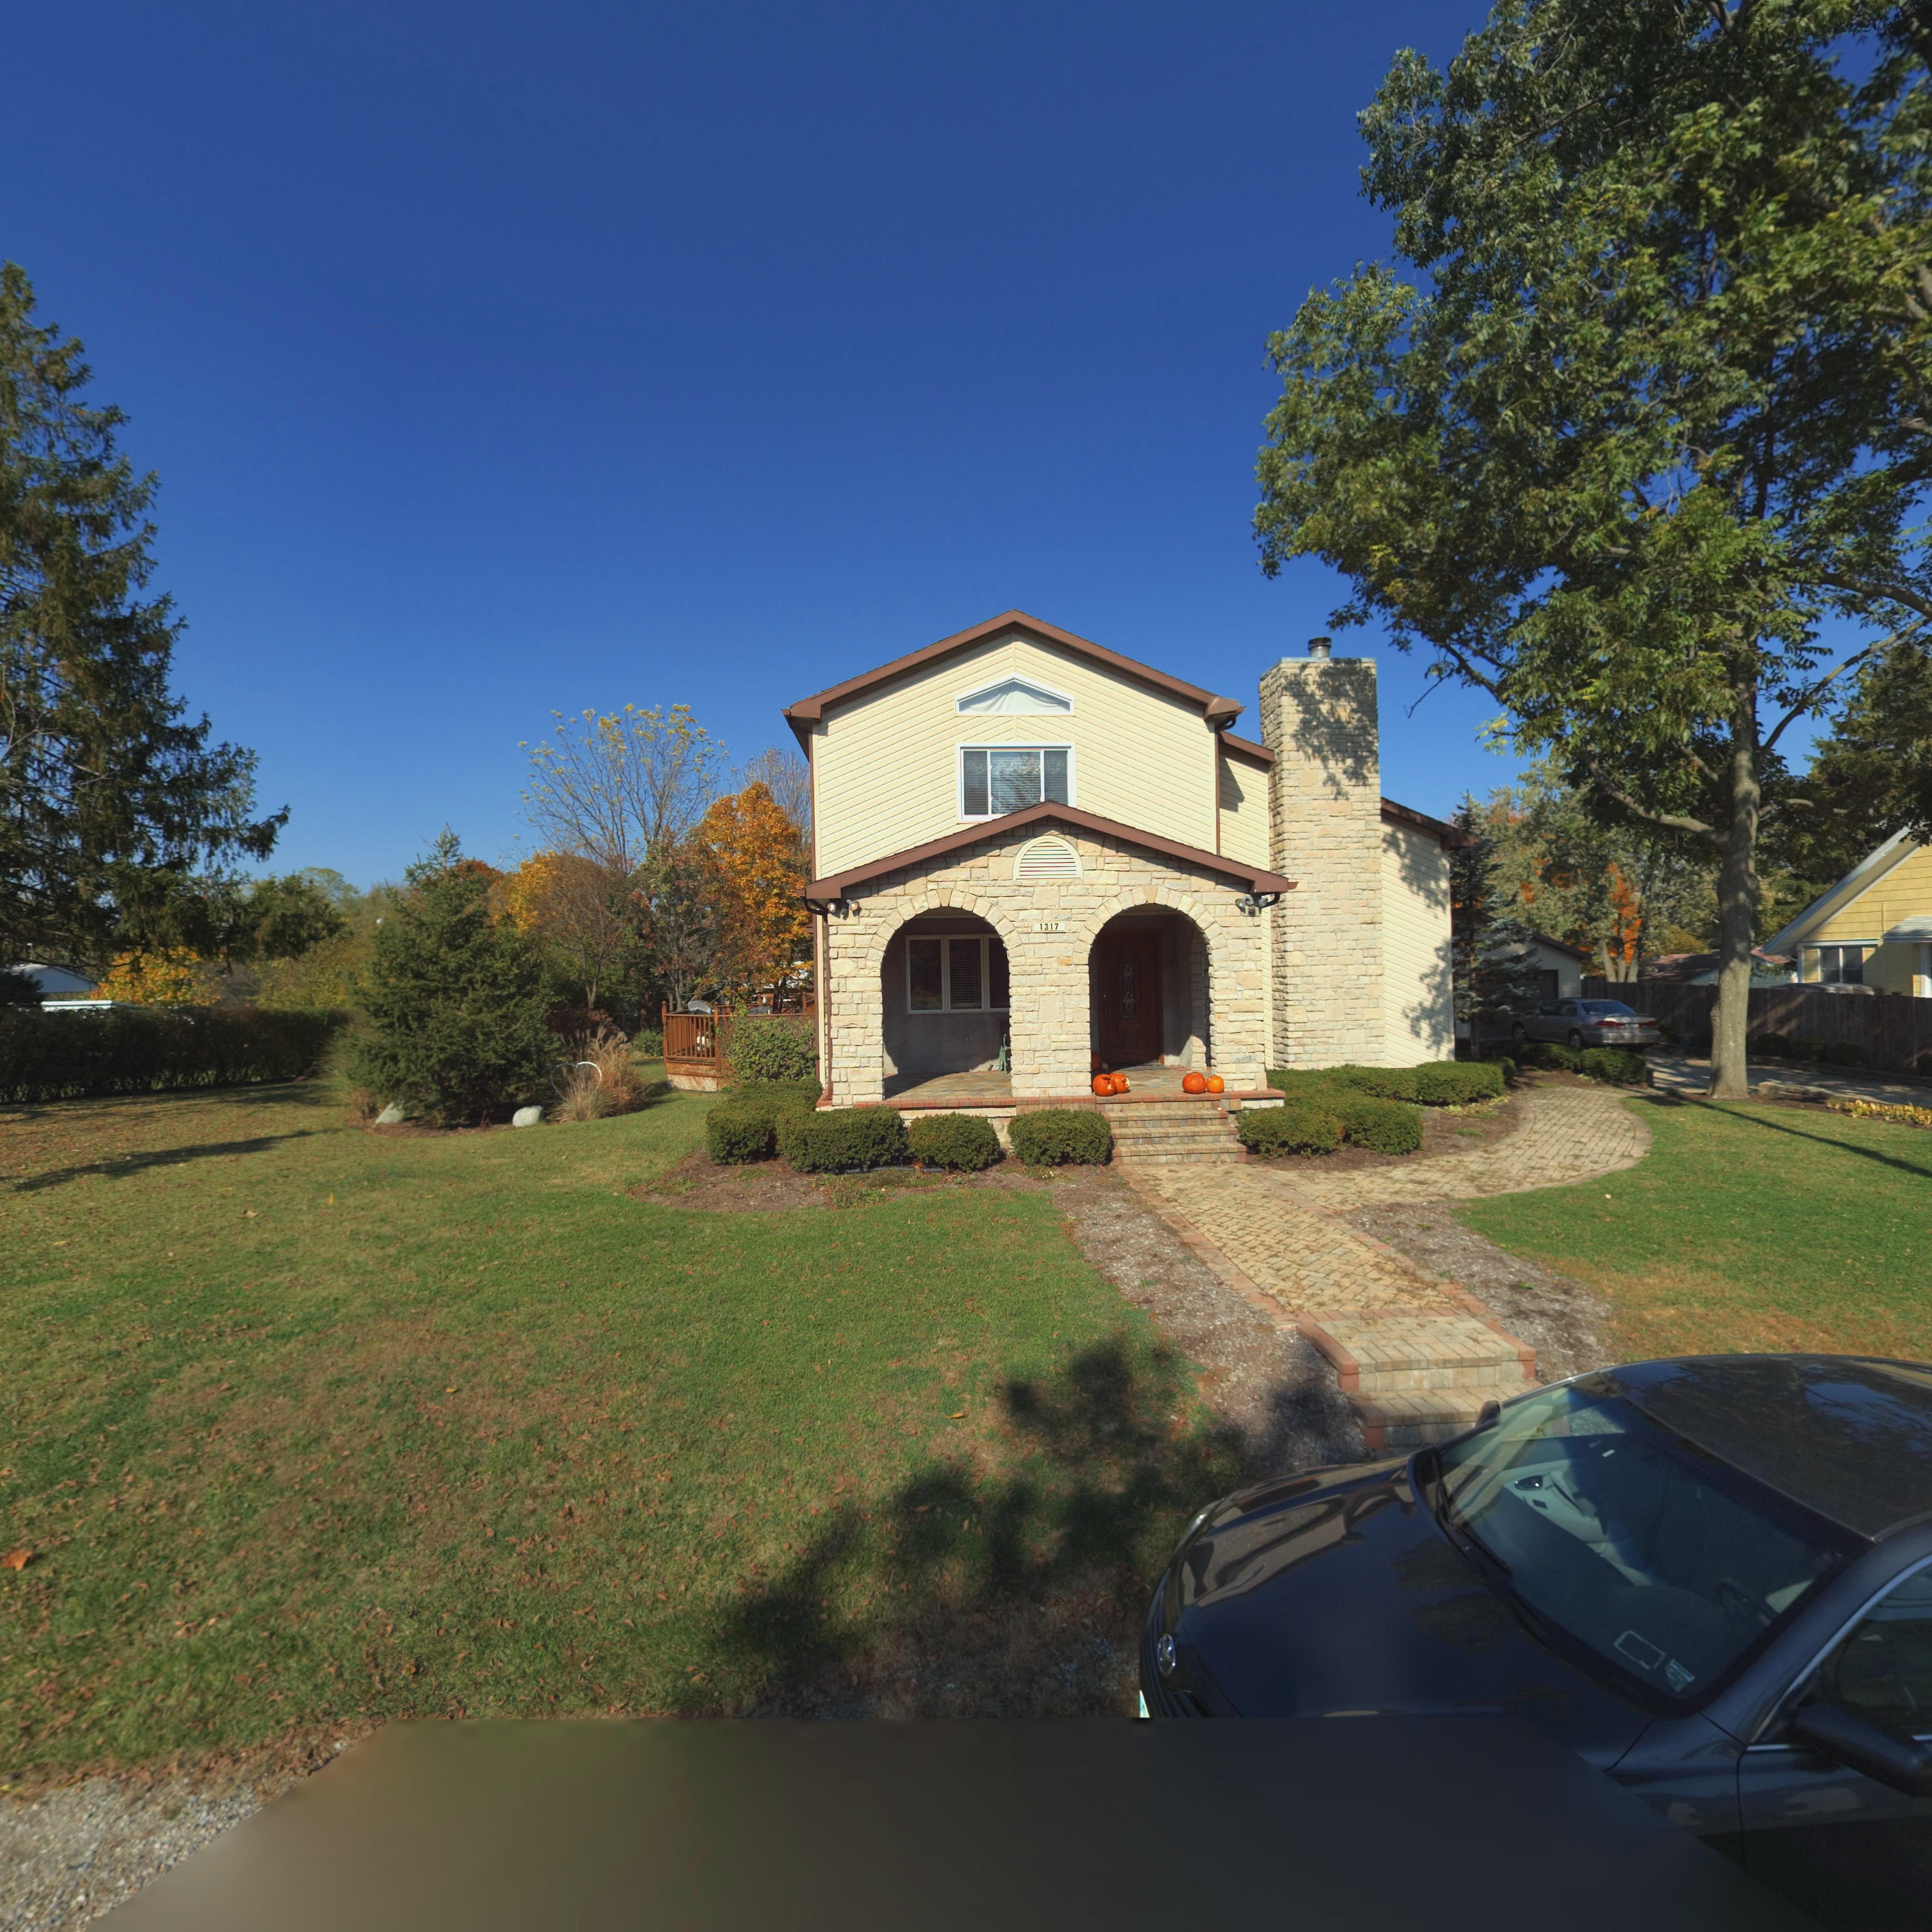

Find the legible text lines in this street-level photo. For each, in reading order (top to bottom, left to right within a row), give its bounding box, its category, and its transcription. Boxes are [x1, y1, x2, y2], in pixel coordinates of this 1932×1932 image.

[1038, 923, 1059, 931] StreetNumber: 1317